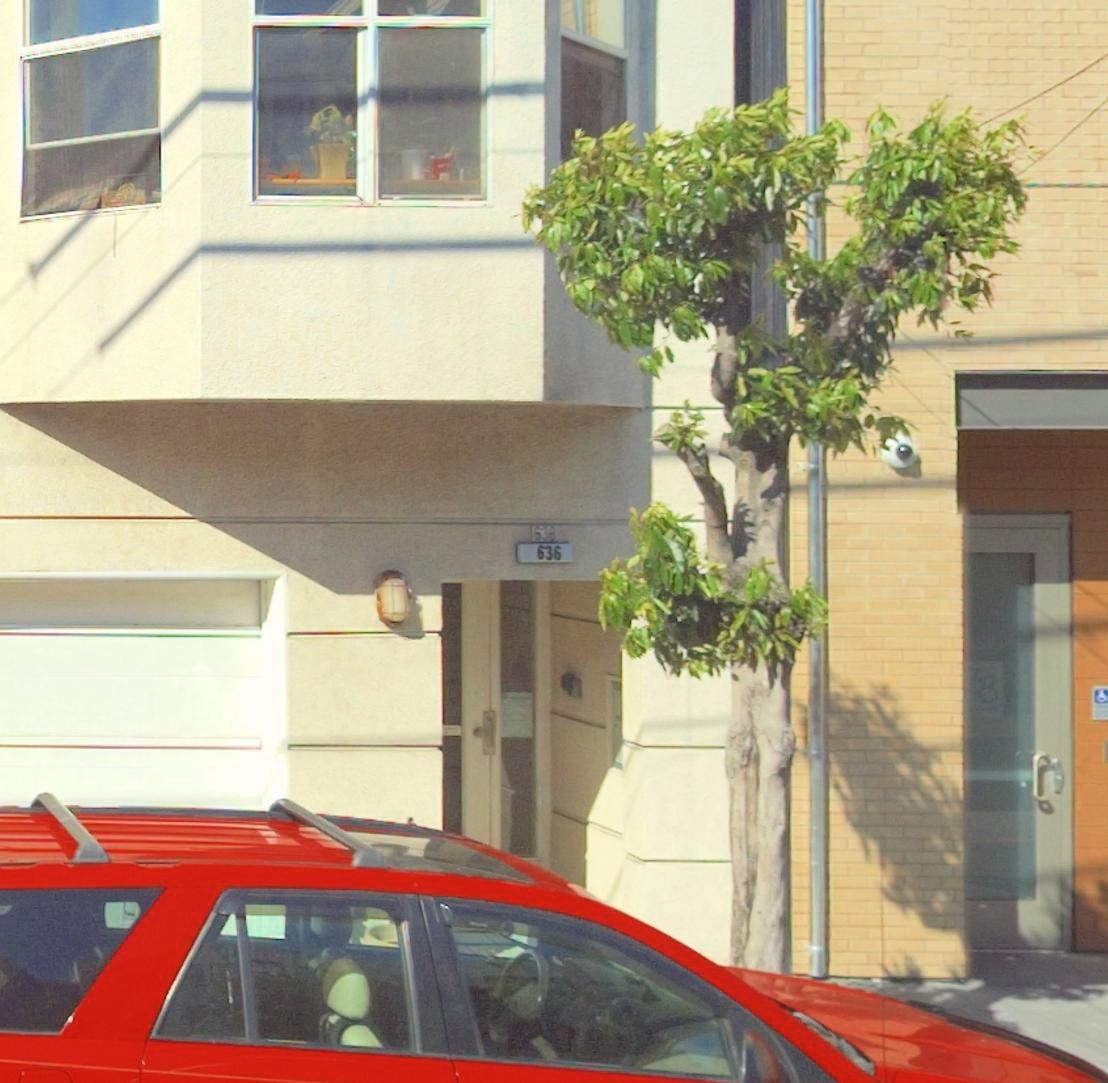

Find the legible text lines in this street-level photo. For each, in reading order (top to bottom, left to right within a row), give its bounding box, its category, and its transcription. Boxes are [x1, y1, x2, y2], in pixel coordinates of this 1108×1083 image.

[533, 524, 557, 543] StreetNumber: 638
[536, 544, 563, 562] StreetNumber: 636